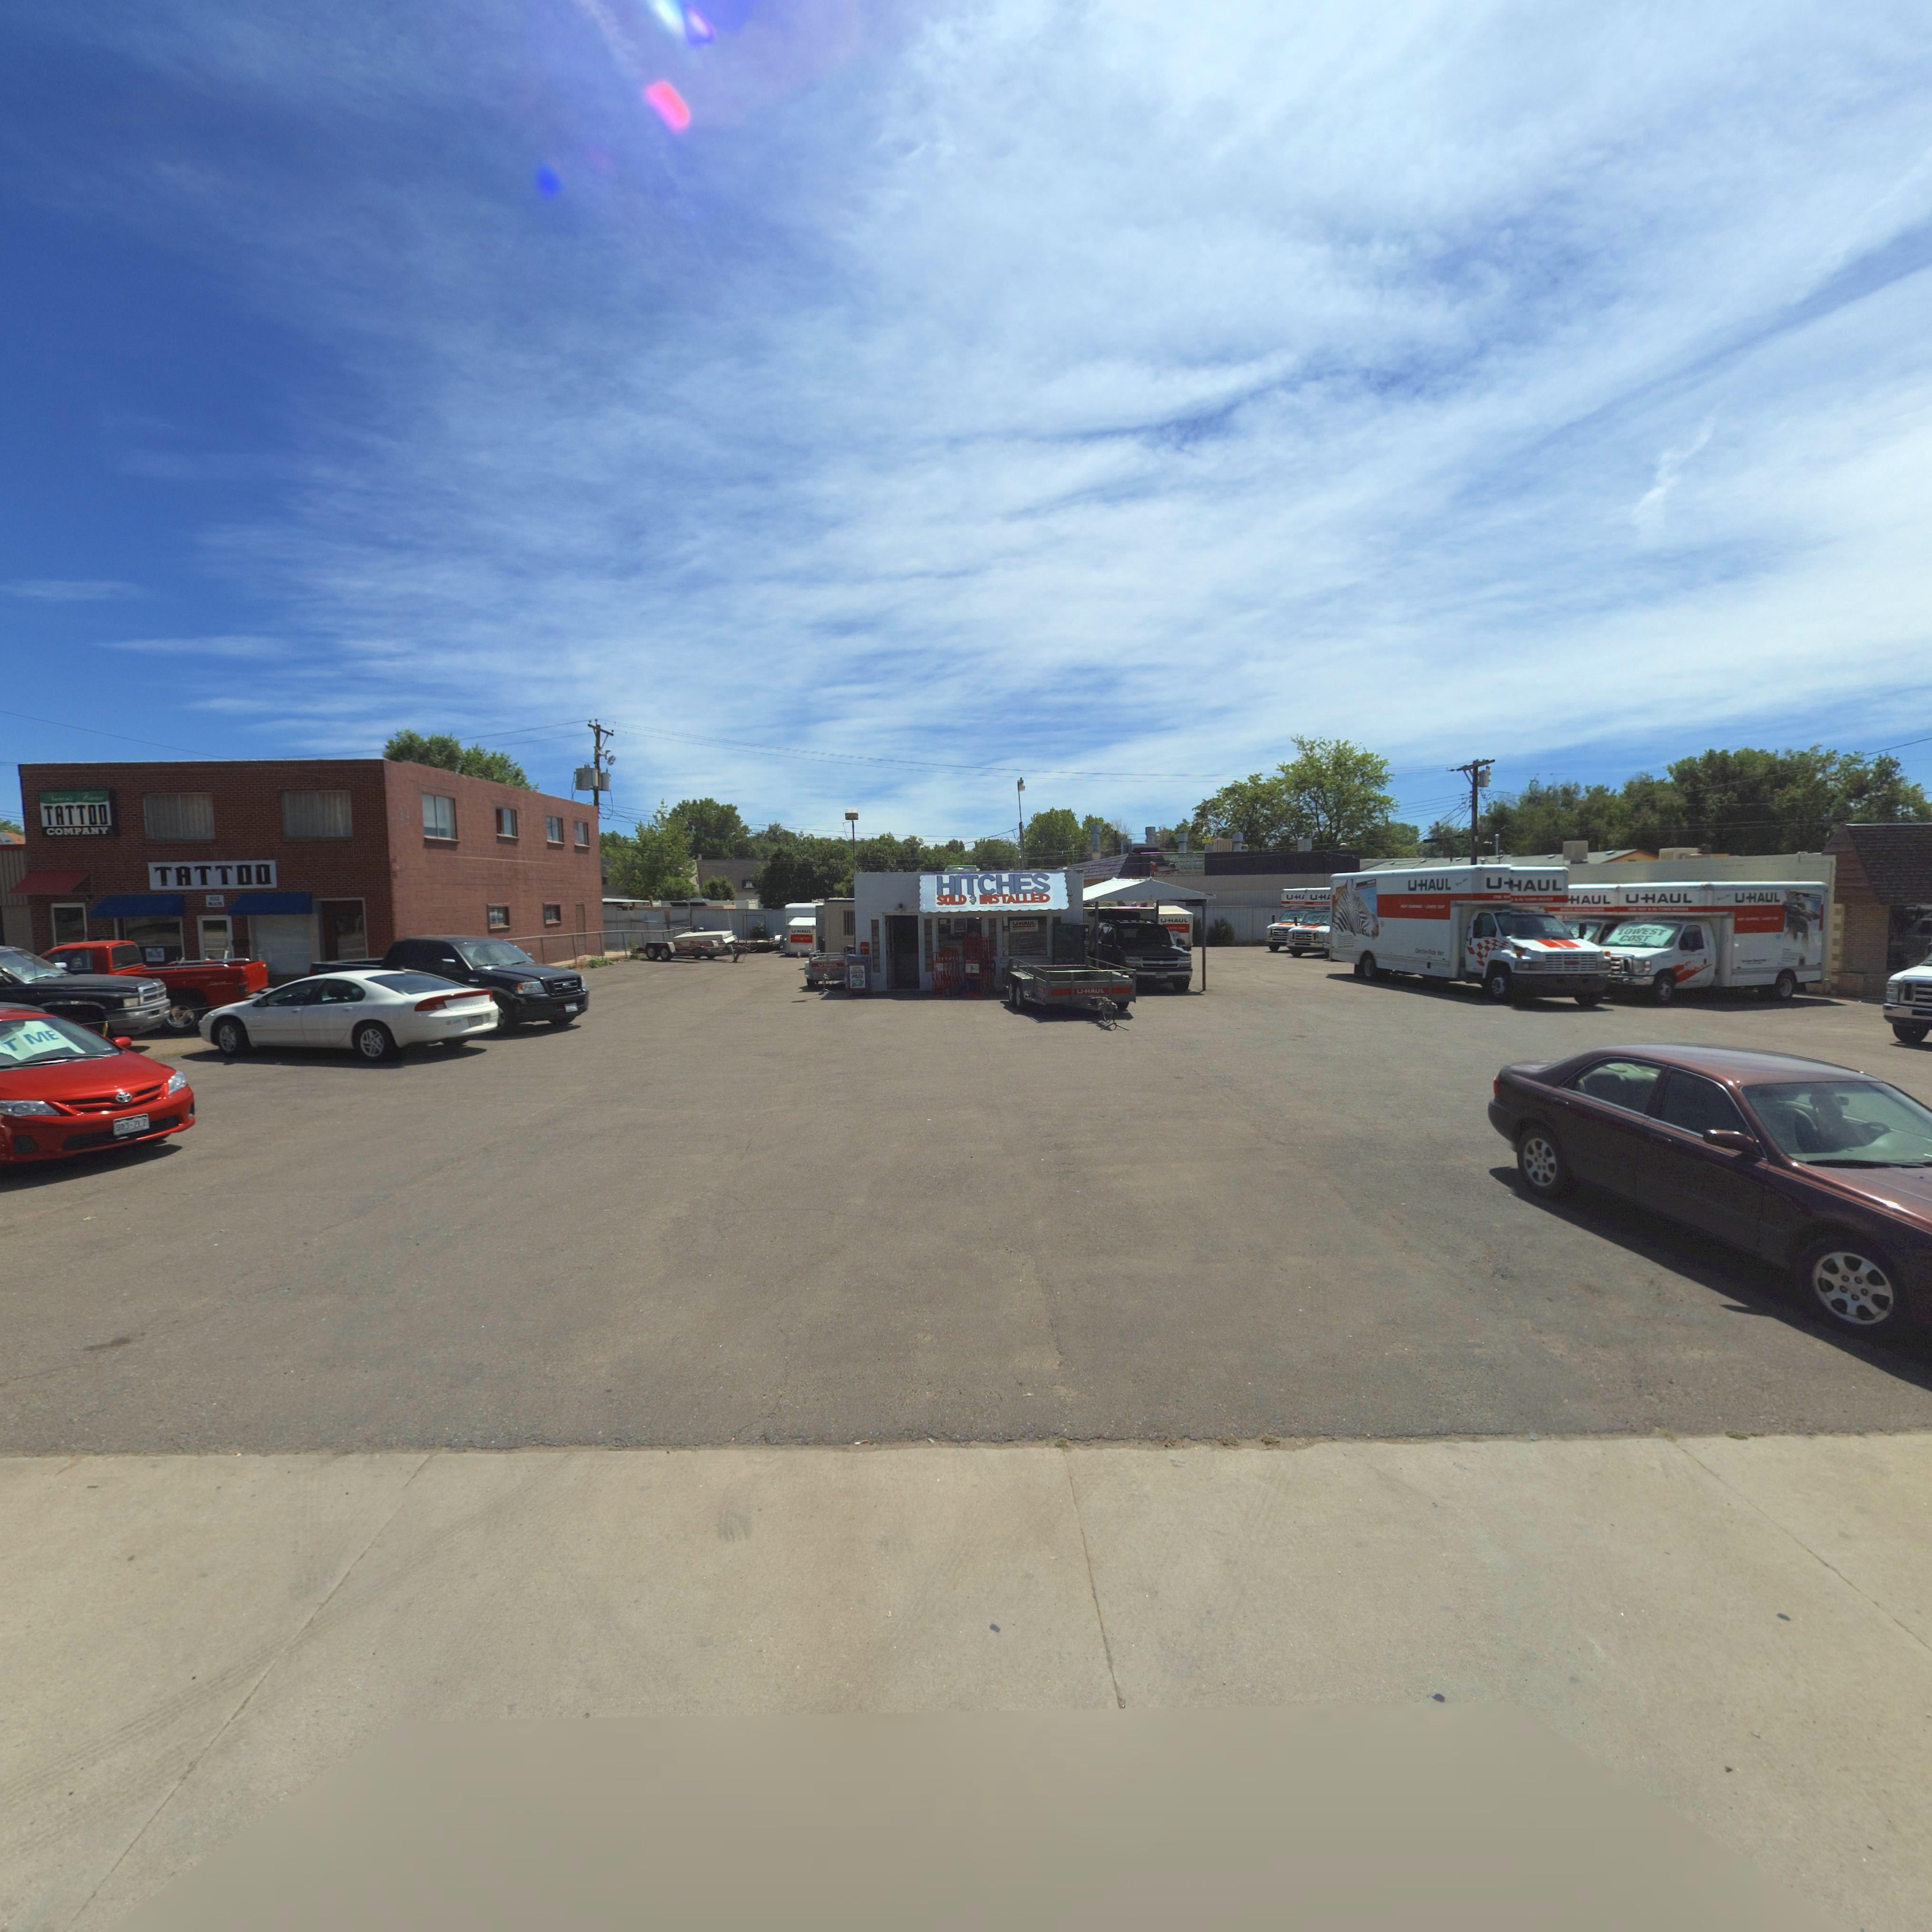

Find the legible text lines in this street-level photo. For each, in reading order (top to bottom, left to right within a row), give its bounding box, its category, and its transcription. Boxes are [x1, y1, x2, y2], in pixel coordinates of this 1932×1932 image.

[43, 803, 107, 826] BusinessName: TATTOO
[46, 827, 109, 835] BusinessName: COMPANY
[153, 862, 273, 887] BusinessName: TATTOO
[936, 872, 1052, 896] BusinessName: HITCHES